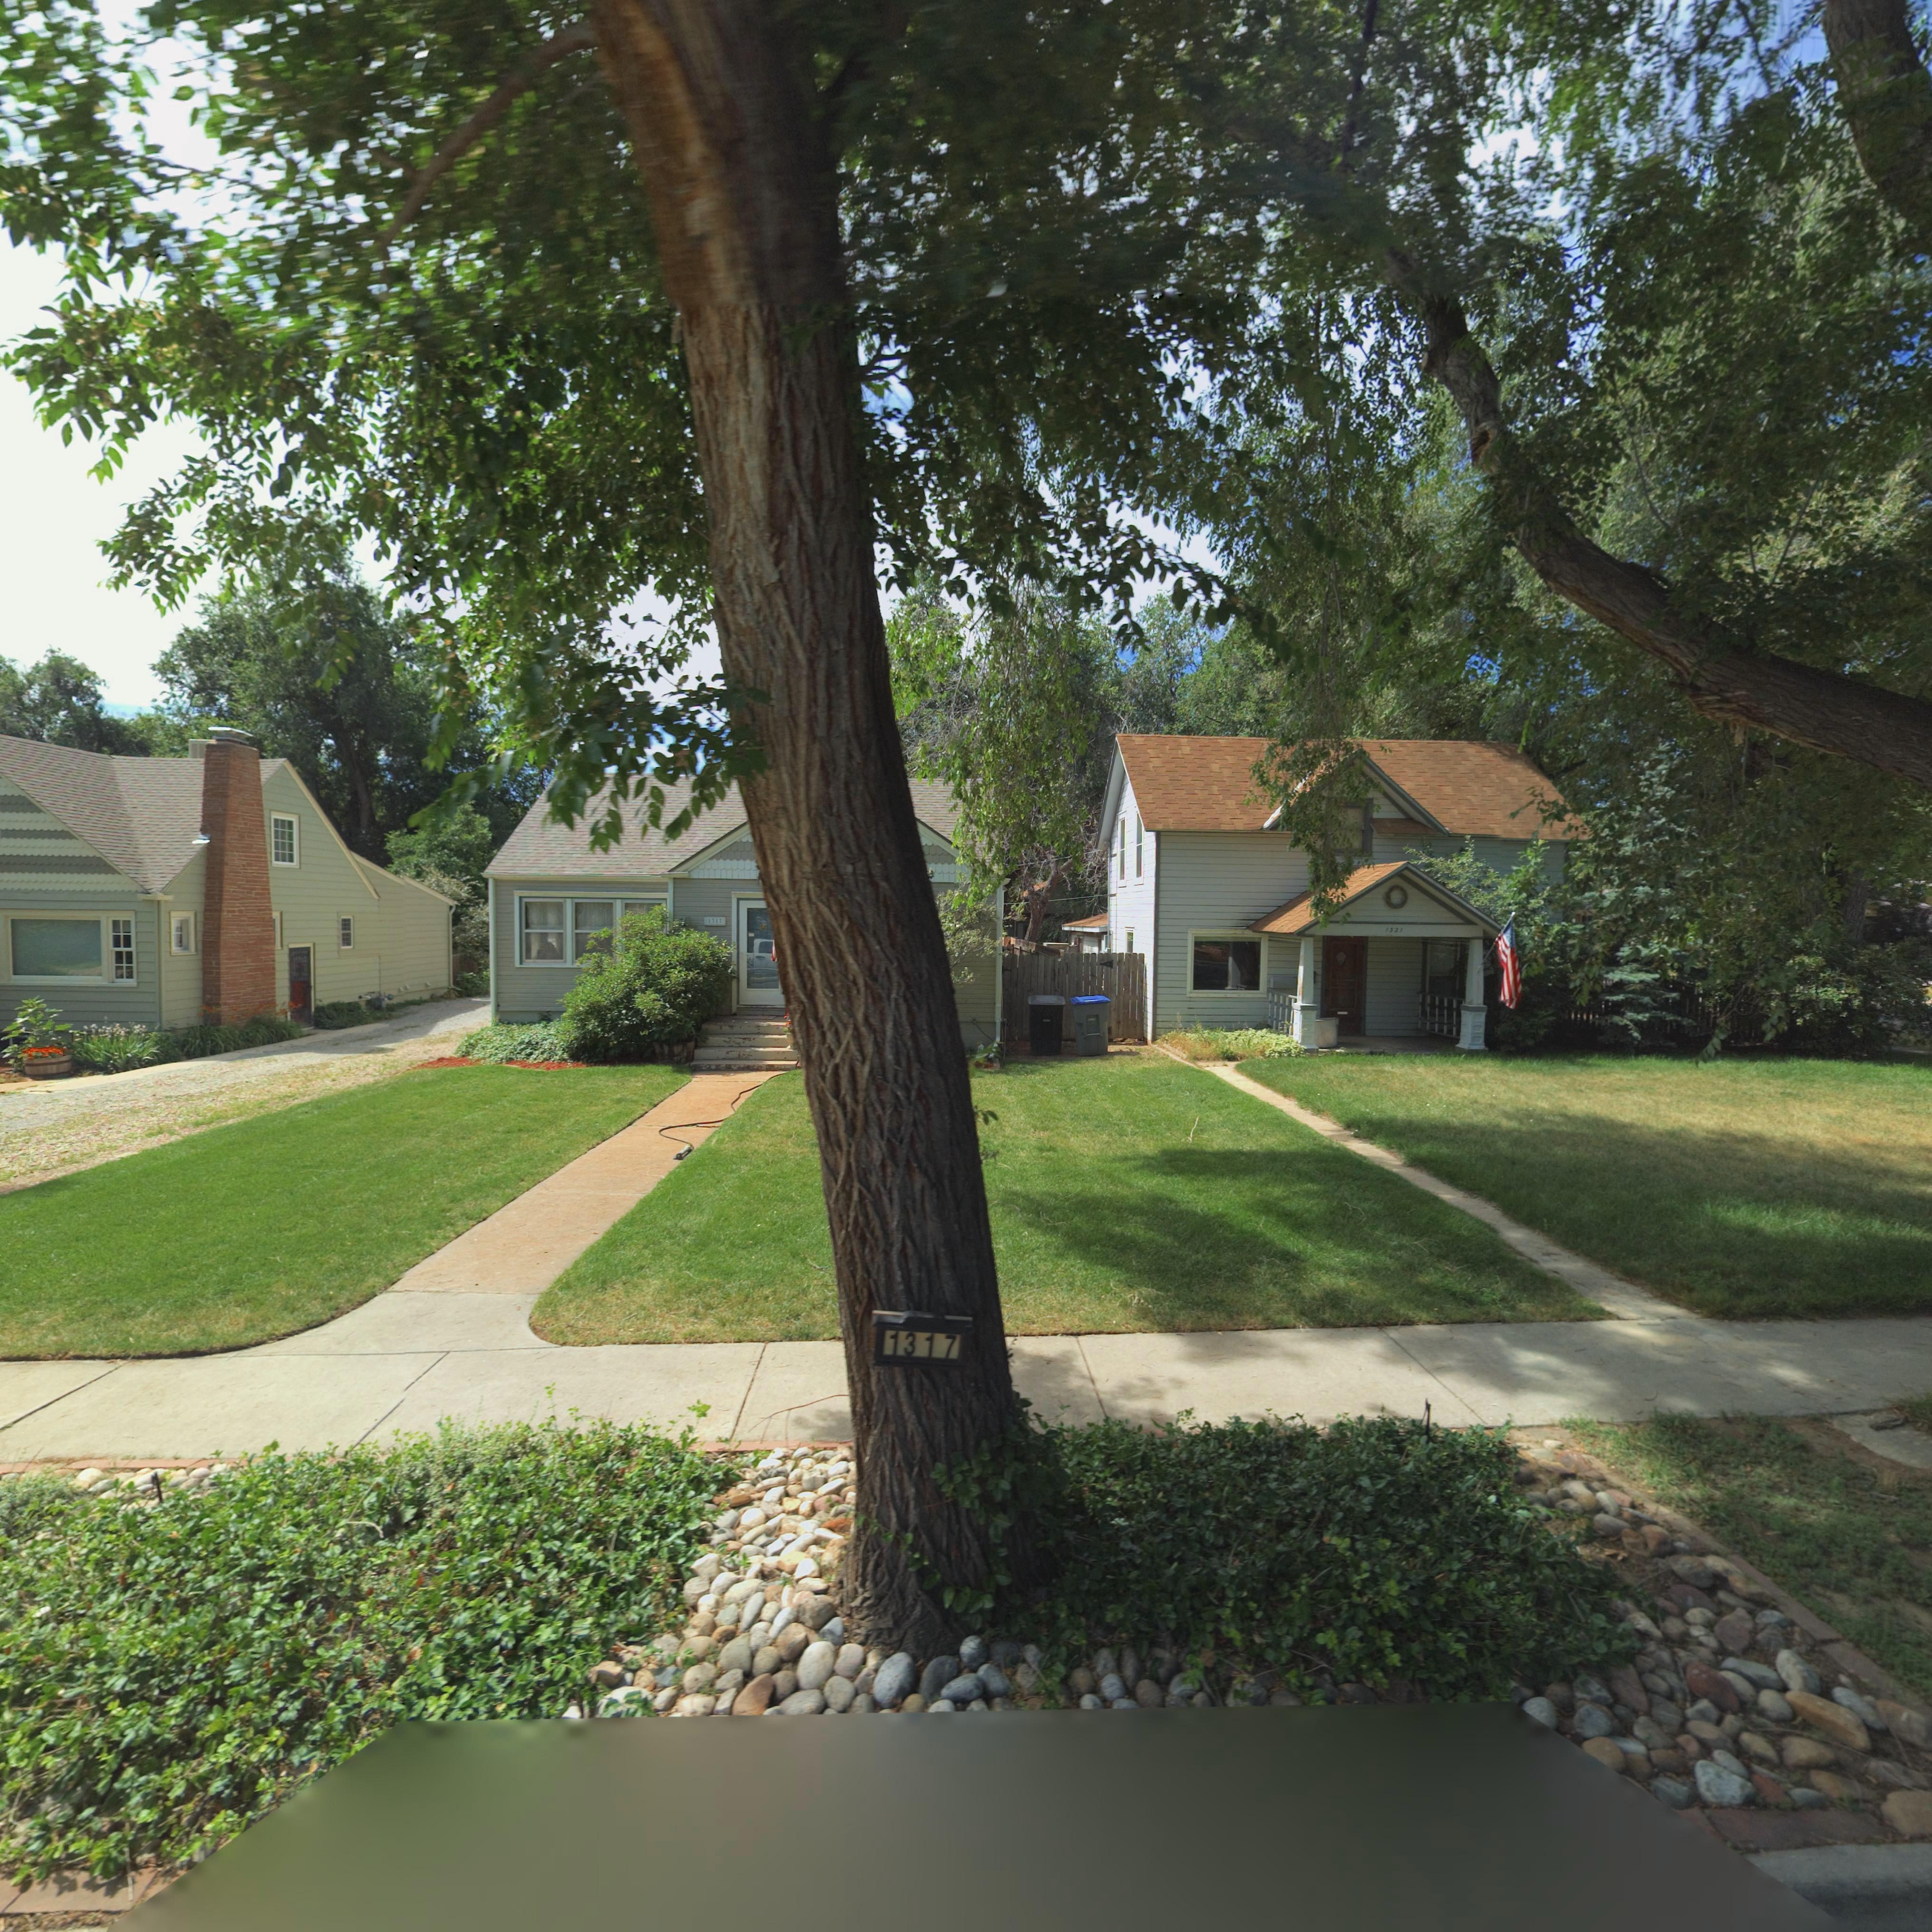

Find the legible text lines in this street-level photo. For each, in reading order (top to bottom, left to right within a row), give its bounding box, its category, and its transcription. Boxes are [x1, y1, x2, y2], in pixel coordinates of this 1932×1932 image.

[707, 918, 722, 923] StreetNumber: 1317
[1385, 927, 1403, 933] StreetNumber: 1321
[889, 1331, 958, 1359] StreetNumber: 1317